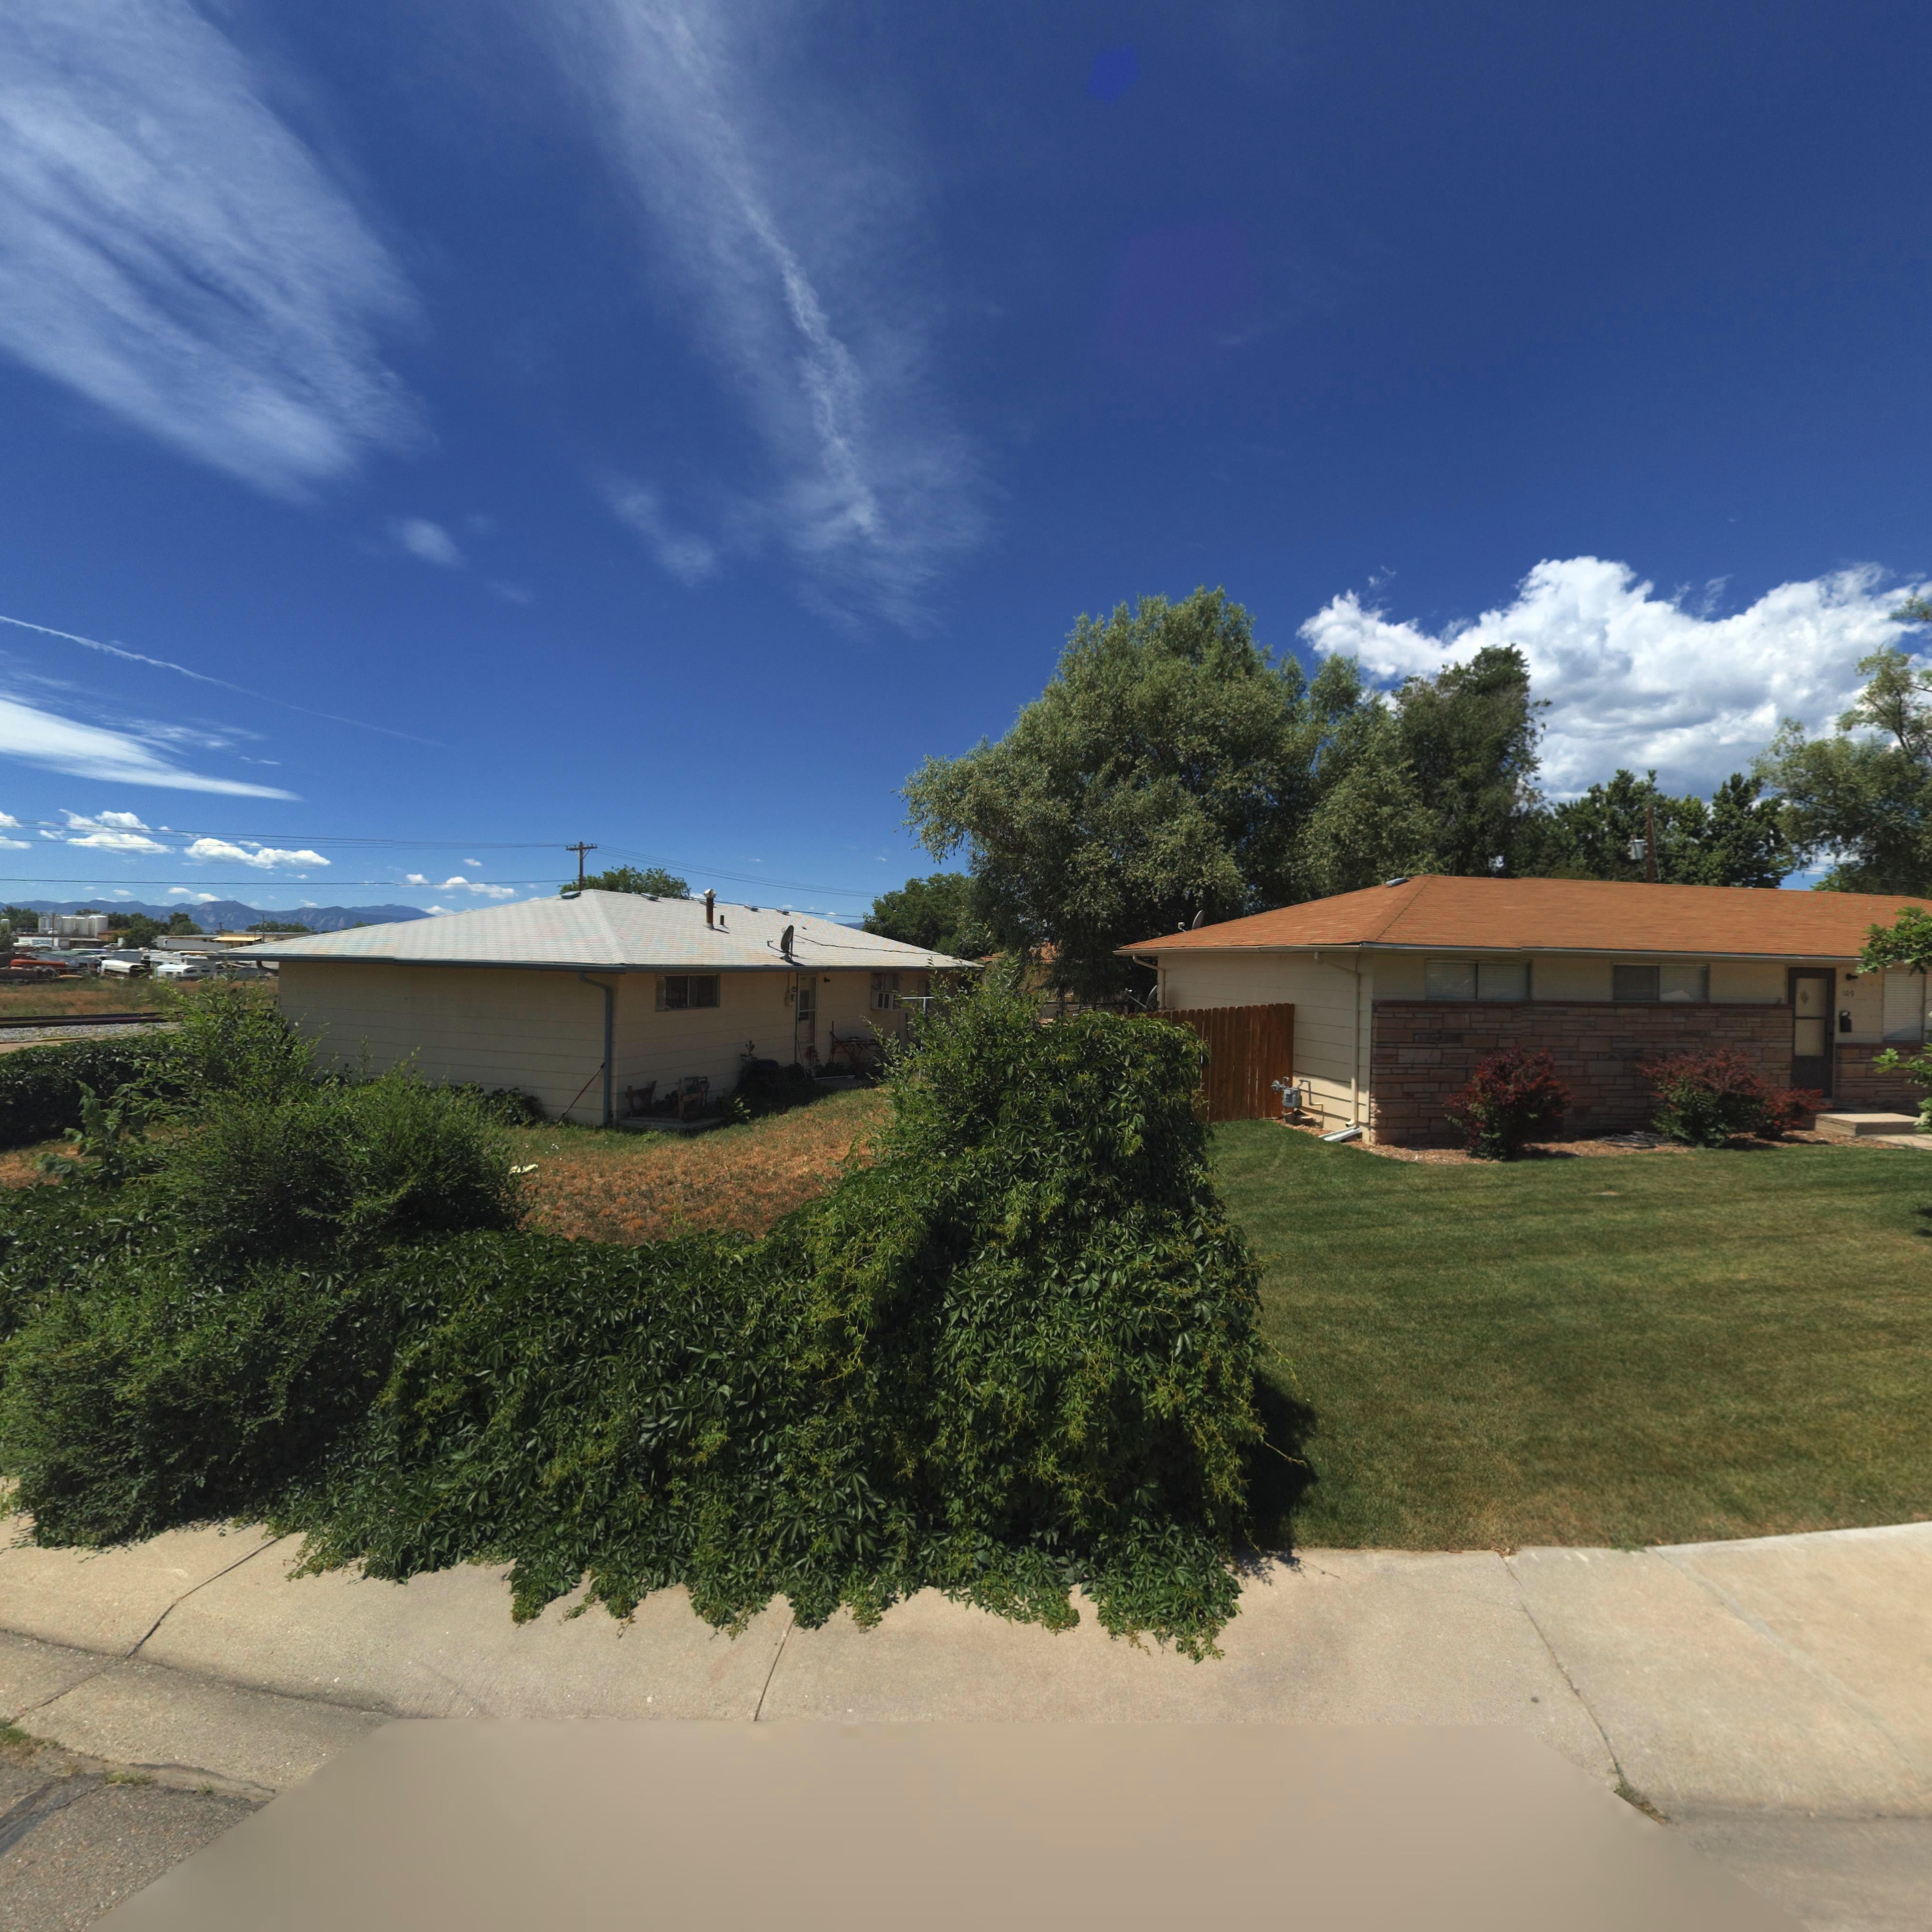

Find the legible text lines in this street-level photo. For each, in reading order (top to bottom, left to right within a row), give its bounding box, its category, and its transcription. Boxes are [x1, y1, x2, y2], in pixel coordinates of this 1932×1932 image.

[1842, 990, 1854, 997] StreetNumber: 109